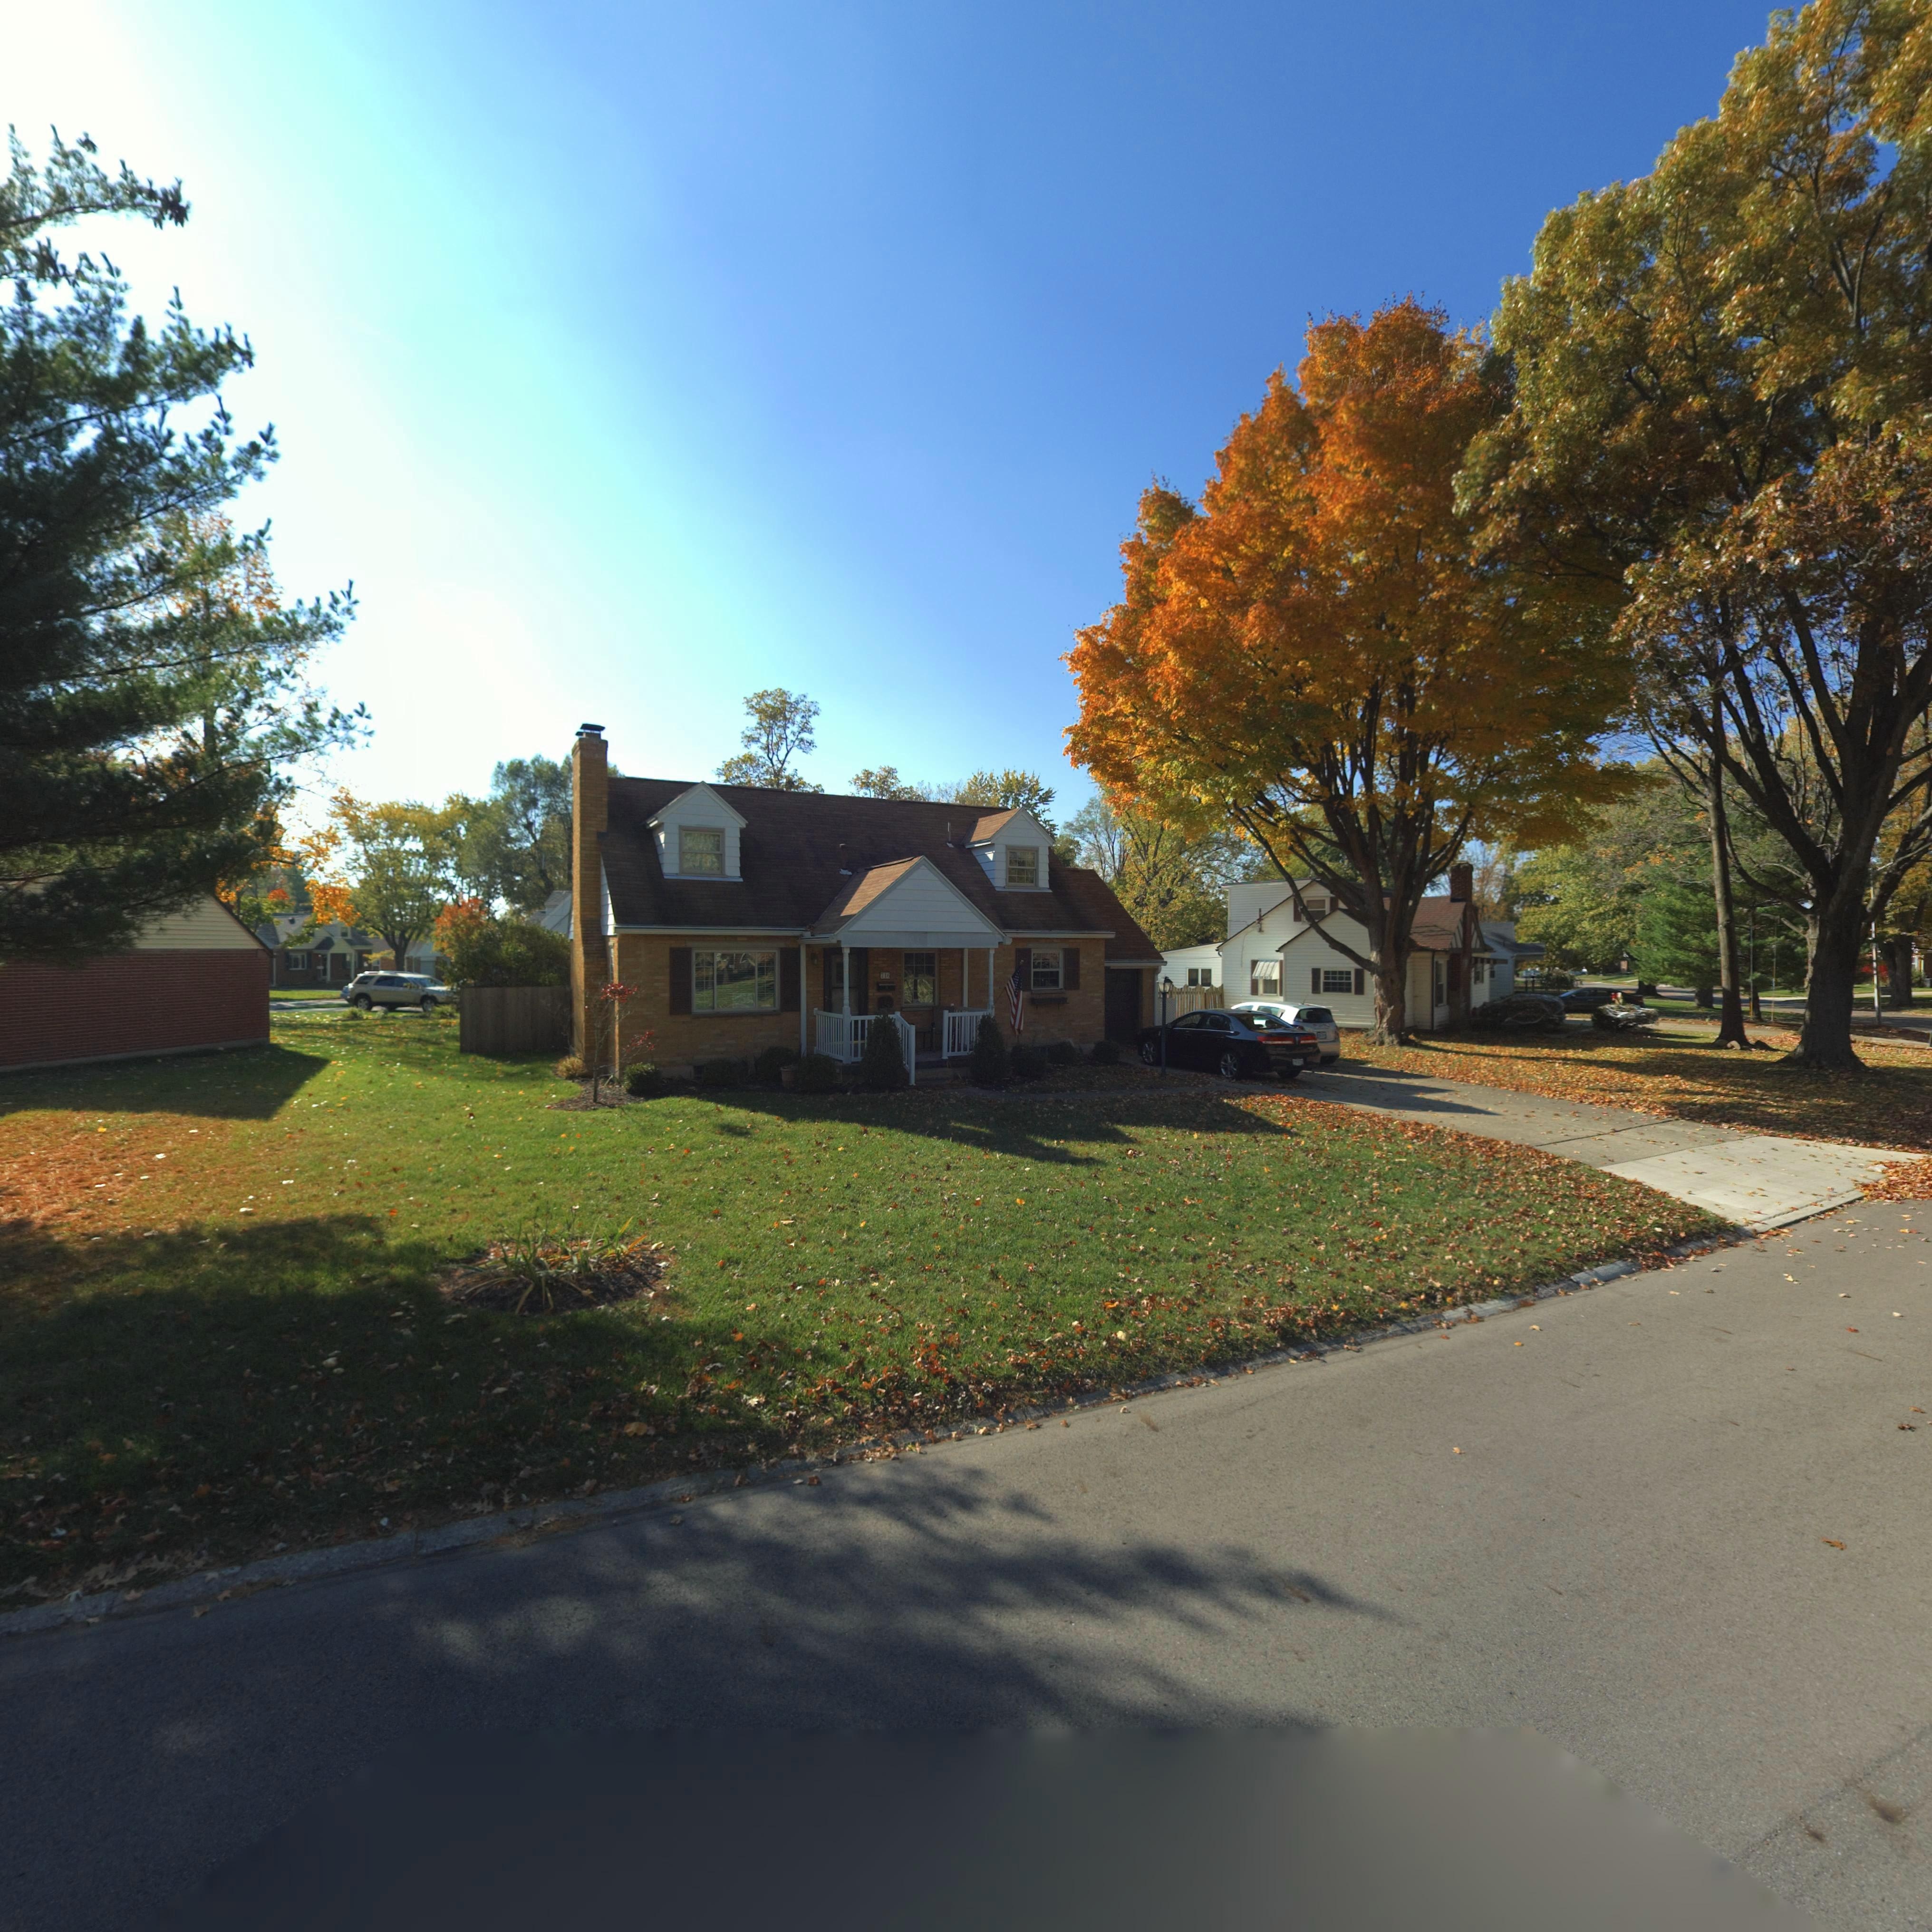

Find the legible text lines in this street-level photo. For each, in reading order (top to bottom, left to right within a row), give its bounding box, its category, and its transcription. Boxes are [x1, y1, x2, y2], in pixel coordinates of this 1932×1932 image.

[880, 973, 890, 979] StreetNumber: 716